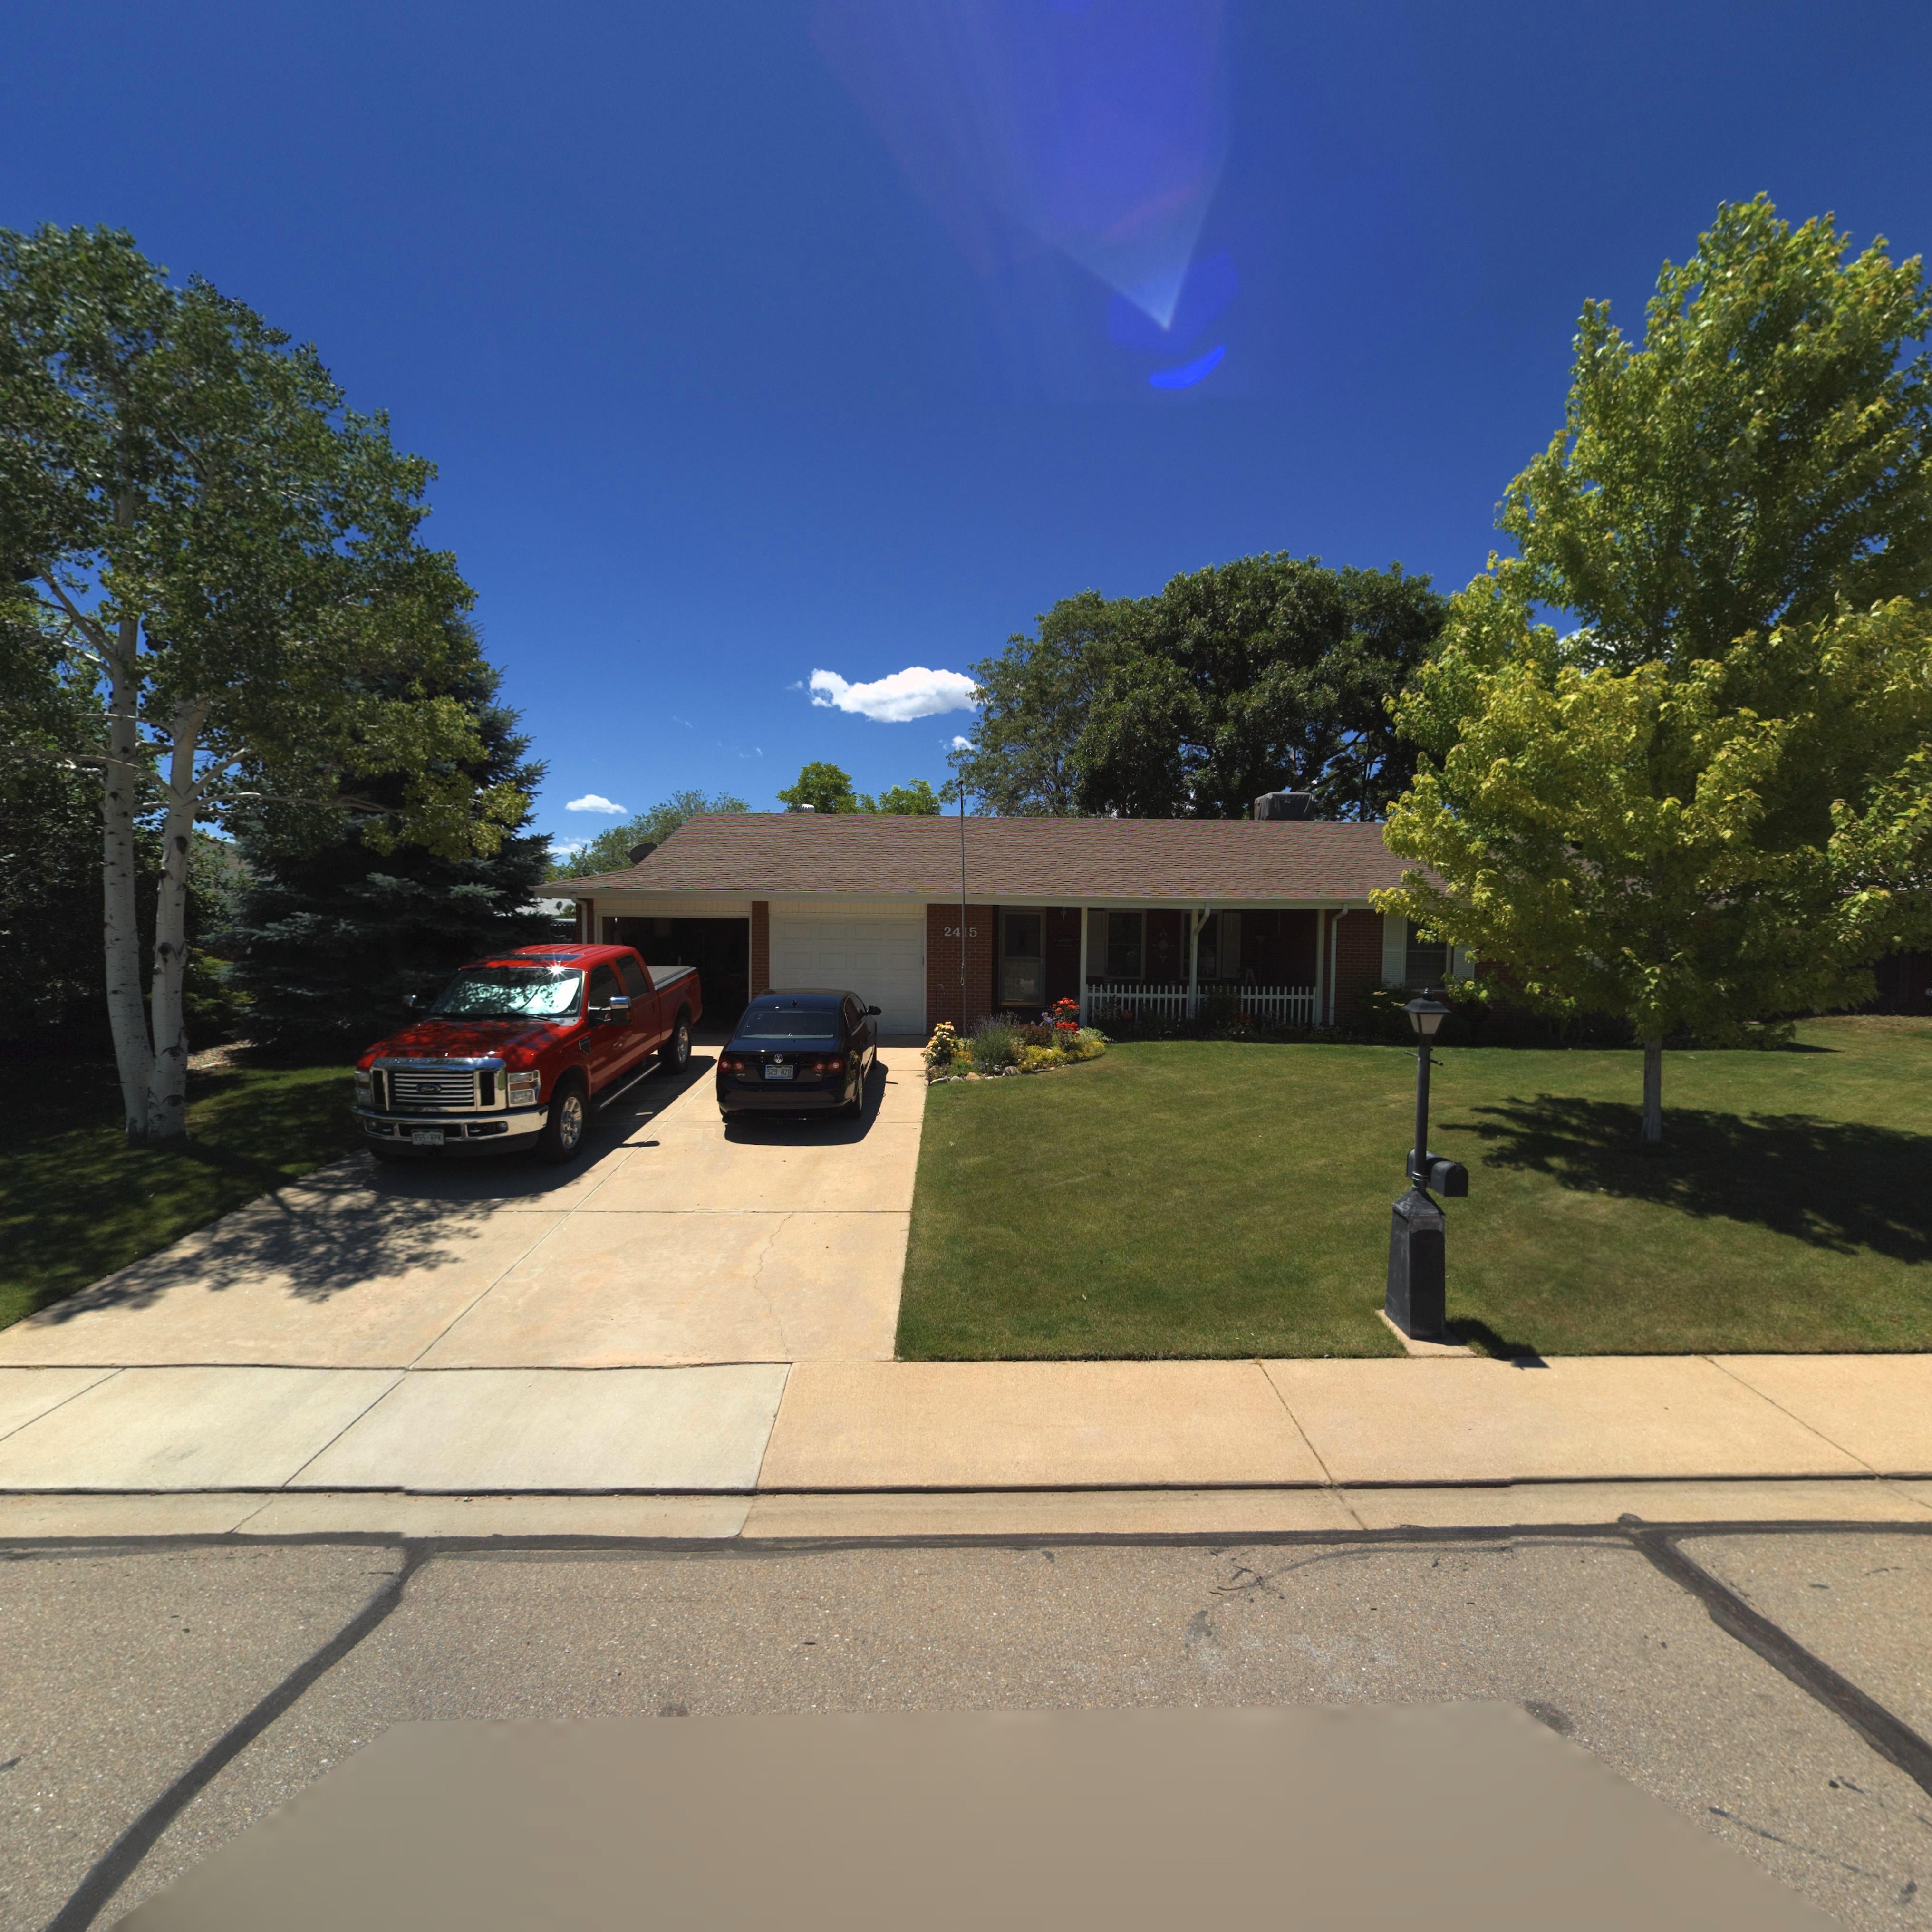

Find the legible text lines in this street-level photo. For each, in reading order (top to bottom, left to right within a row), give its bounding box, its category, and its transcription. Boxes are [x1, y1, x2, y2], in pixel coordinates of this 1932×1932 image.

[943, 926, 977, 937] StreetNumber: 24*5